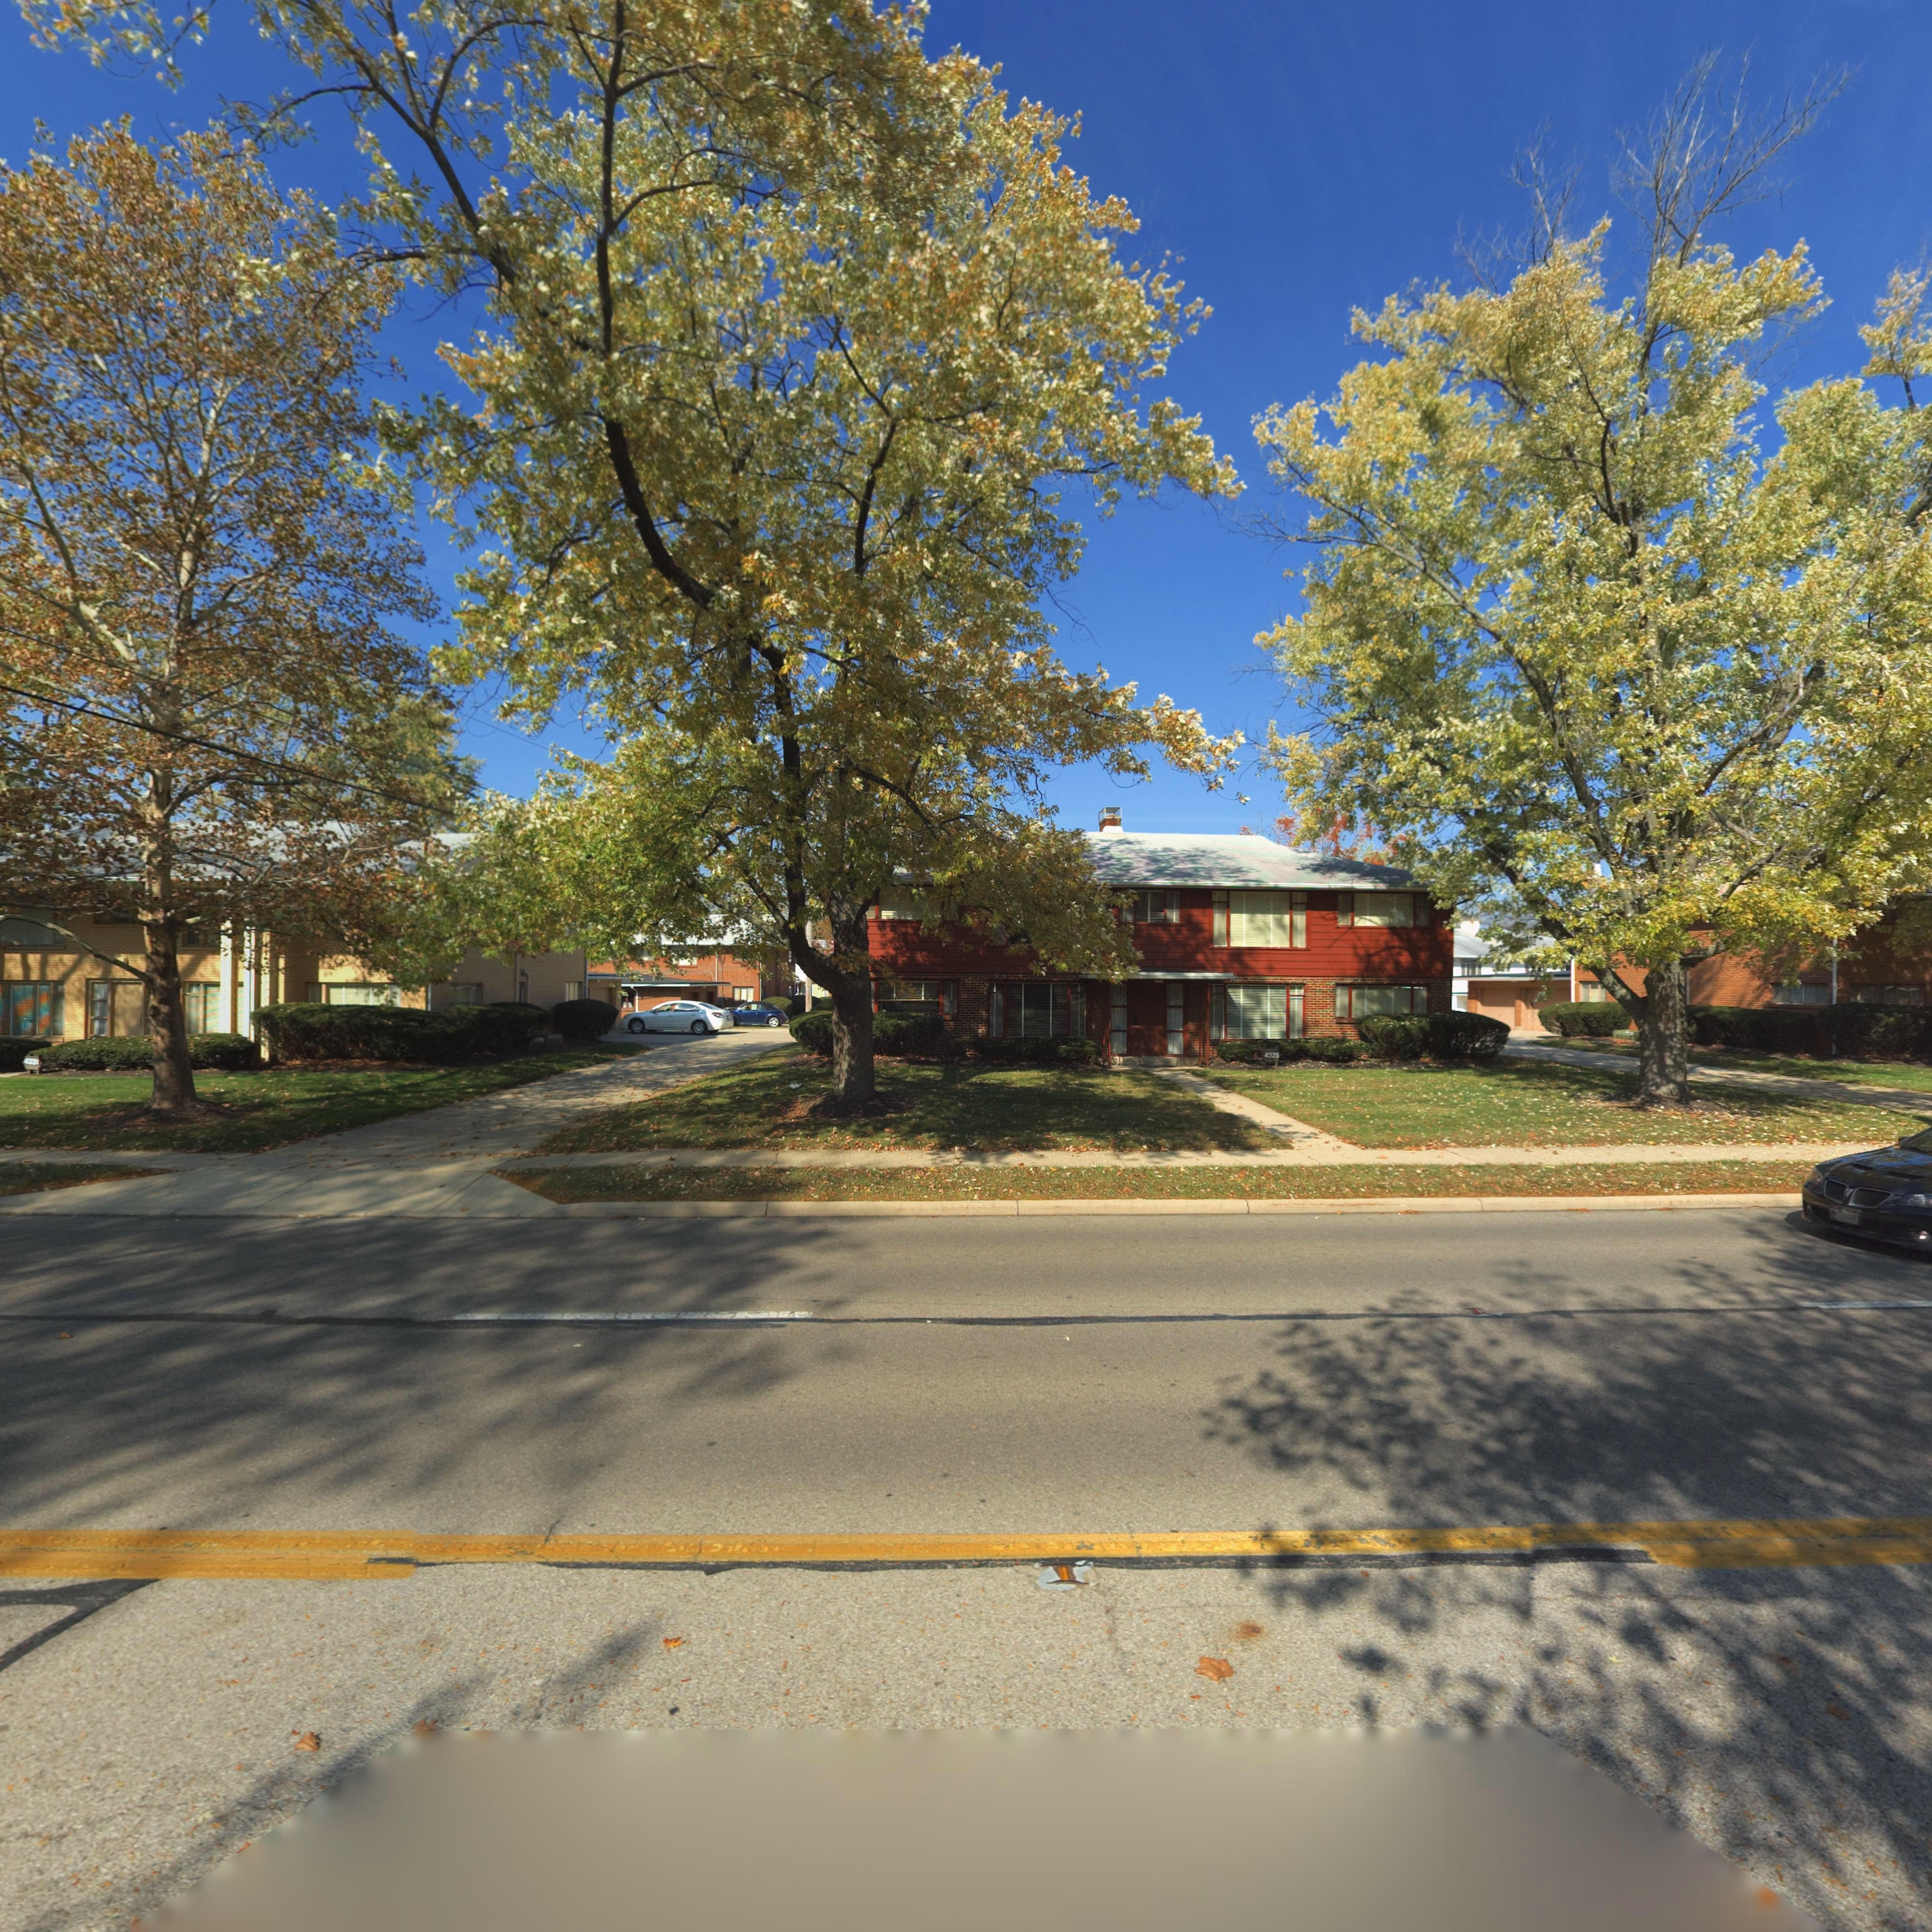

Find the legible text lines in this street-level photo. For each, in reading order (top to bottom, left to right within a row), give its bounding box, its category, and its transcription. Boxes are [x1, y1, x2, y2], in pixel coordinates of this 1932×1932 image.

[1262, 1051, 1280, 1059] StreetNumber: 4325